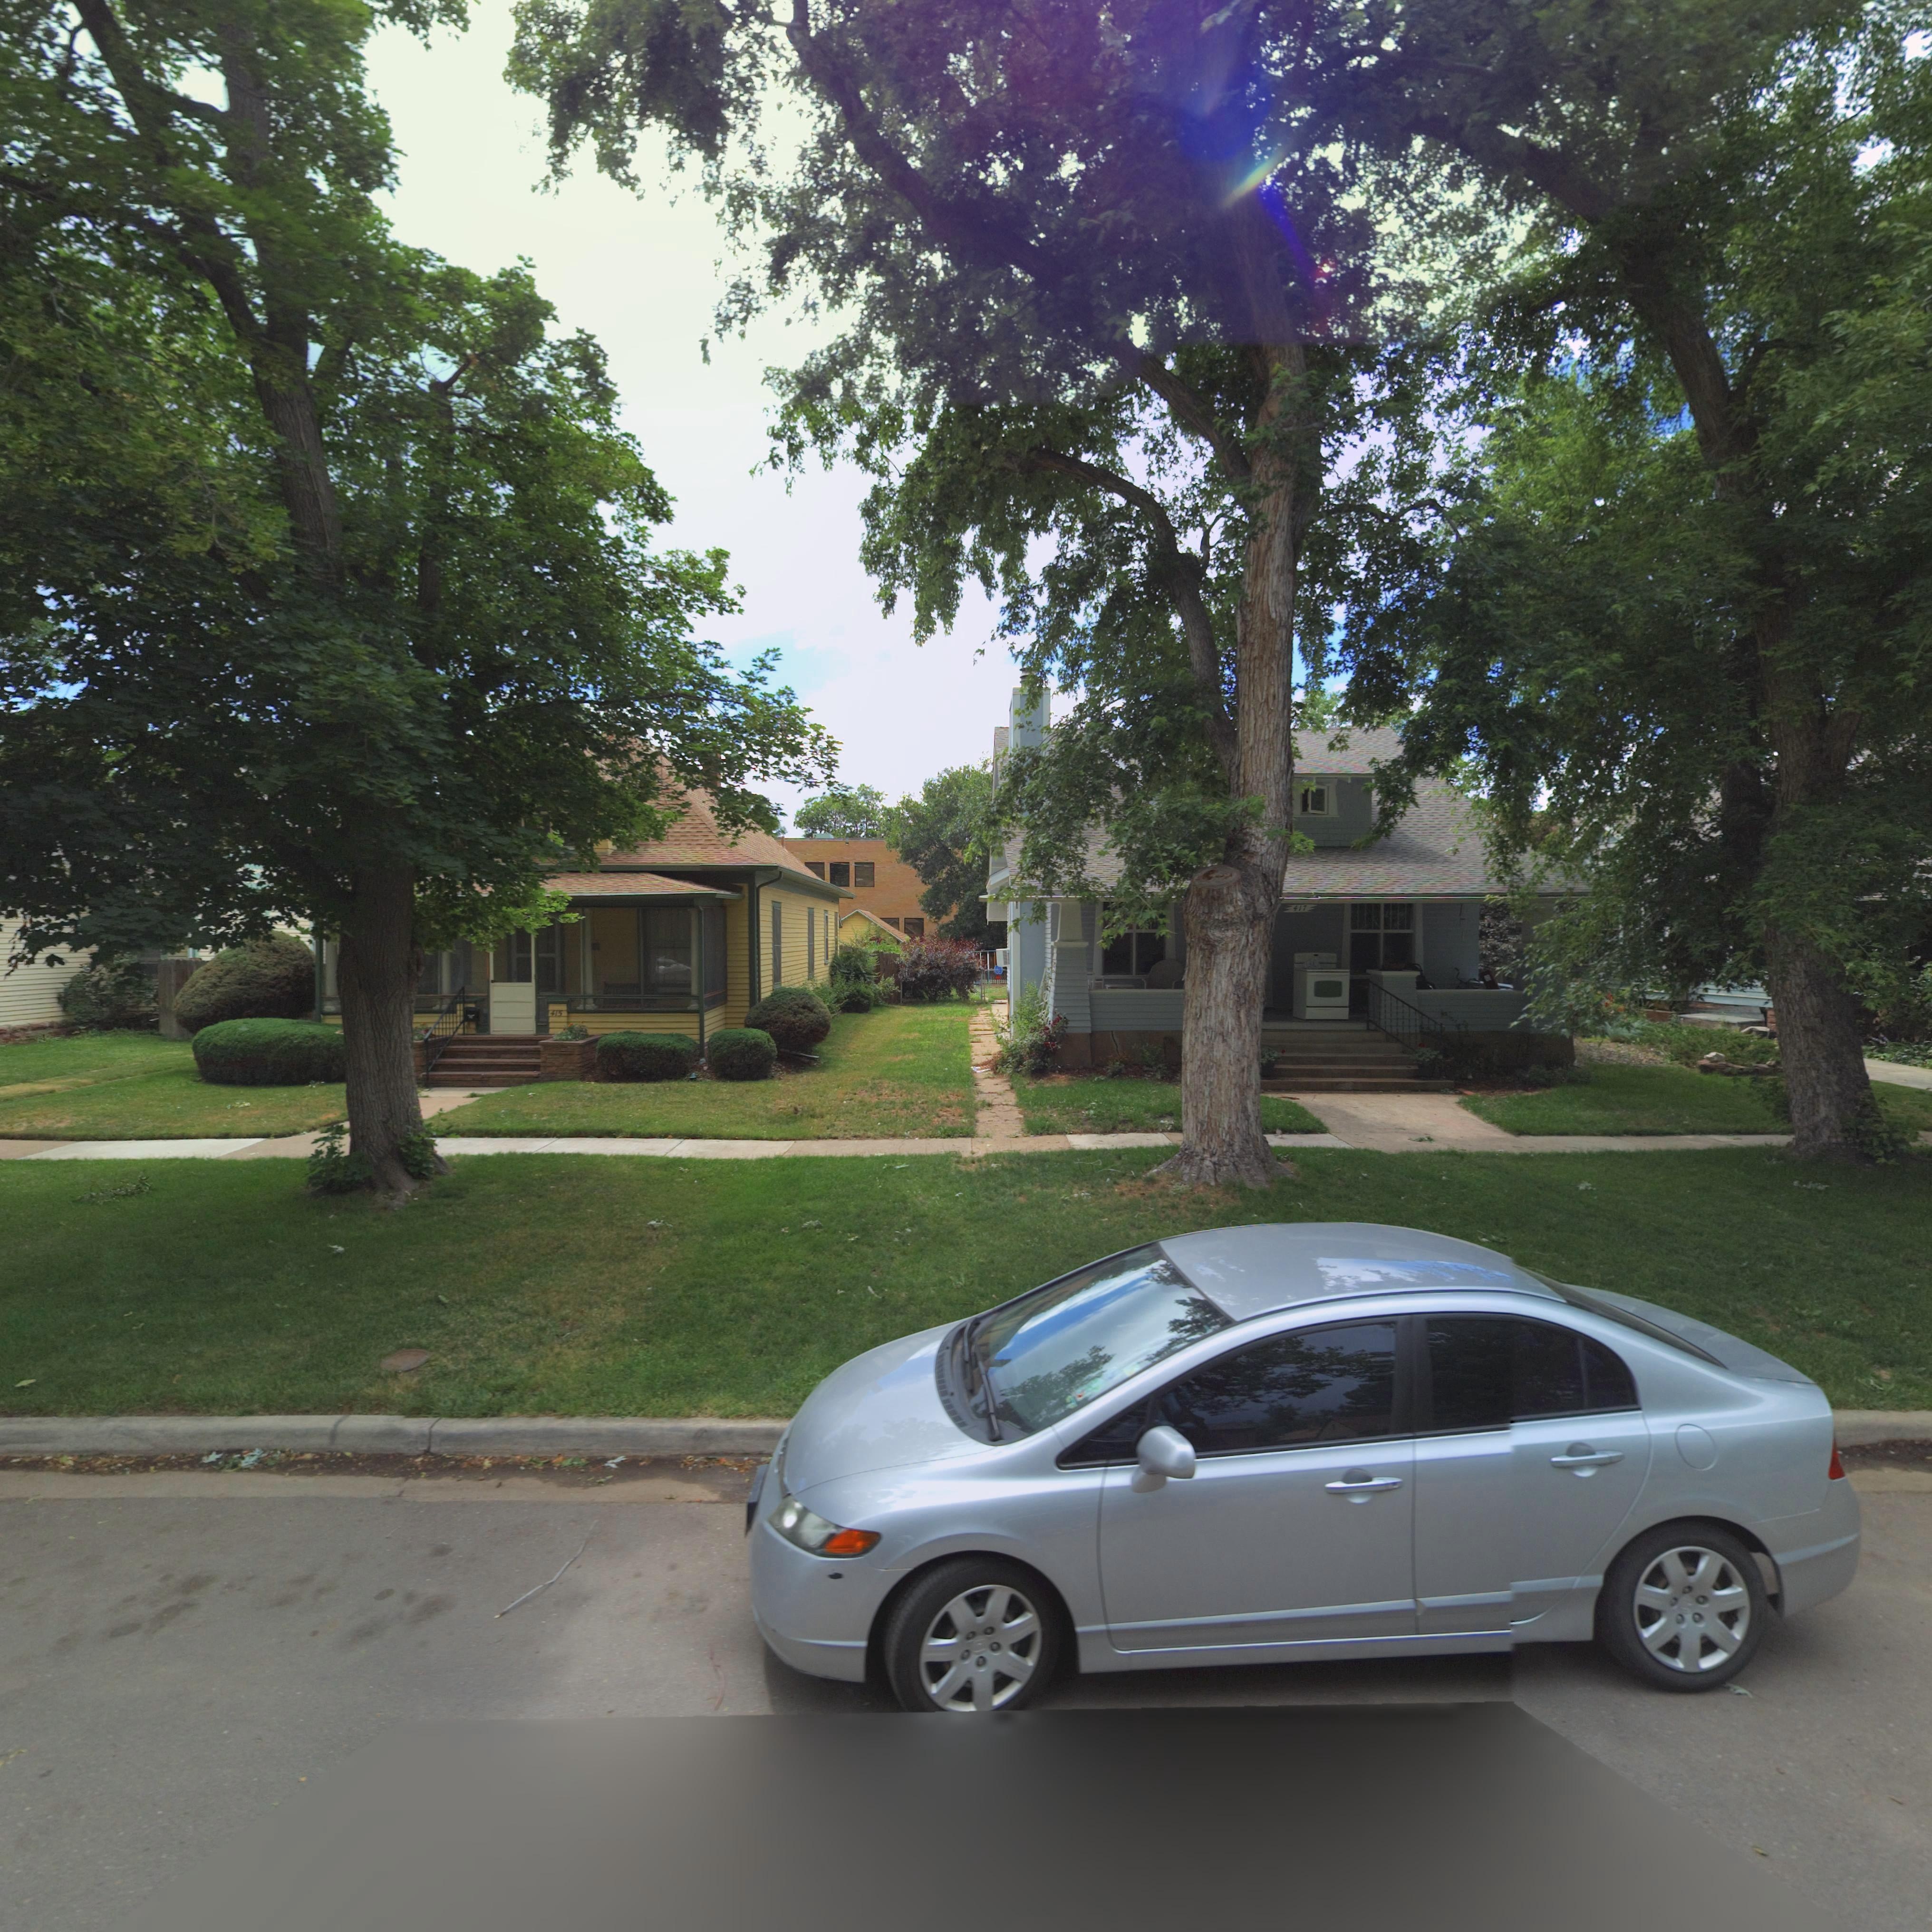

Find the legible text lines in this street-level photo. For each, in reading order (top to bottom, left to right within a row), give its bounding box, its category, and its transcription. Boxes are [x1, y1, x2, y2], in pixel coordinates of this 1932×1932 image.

[1292, 905, 1308, 911] StreetNumber: 417
[550, 1009, 562, 1016] StreetNumber: 415